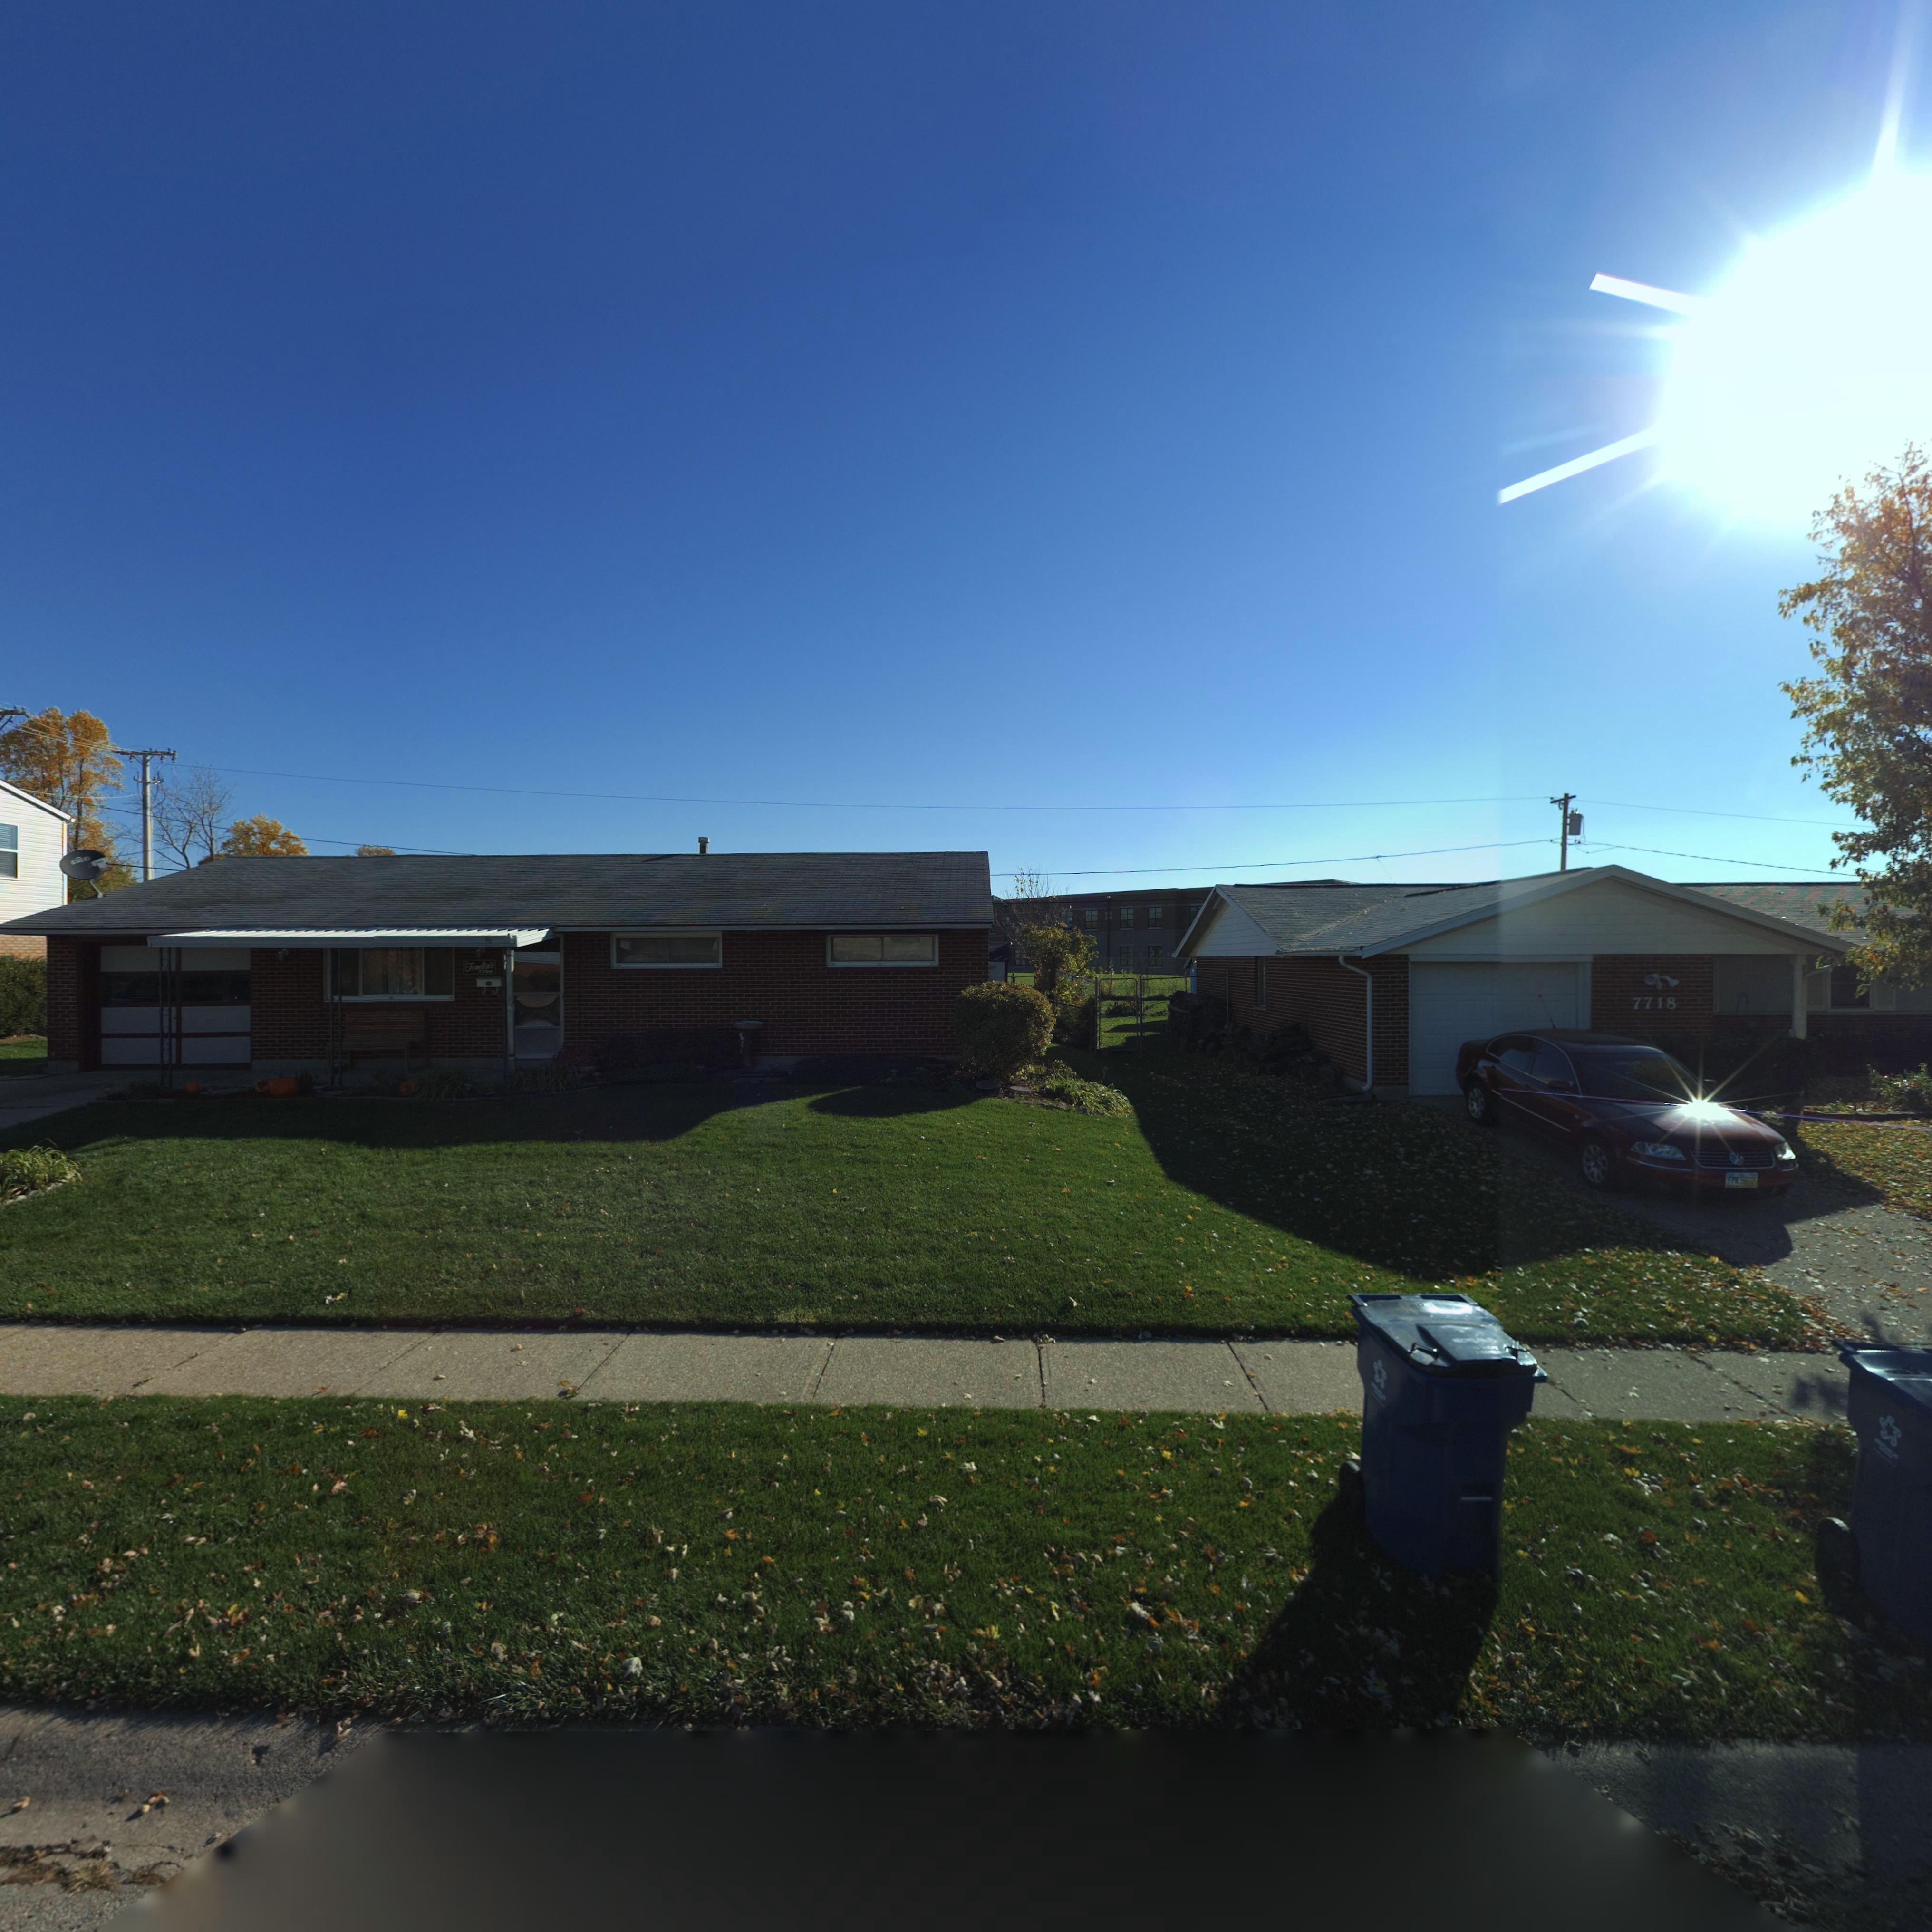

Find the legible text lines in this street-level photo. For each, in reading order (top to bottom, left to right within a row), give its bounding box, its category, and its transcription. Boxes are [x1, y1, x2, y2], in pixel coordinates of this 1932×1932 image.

[477, 969, 493, 974] StreetNumber: 7724
[1631, 996, 1678, 1011] StreetNumber: 7718